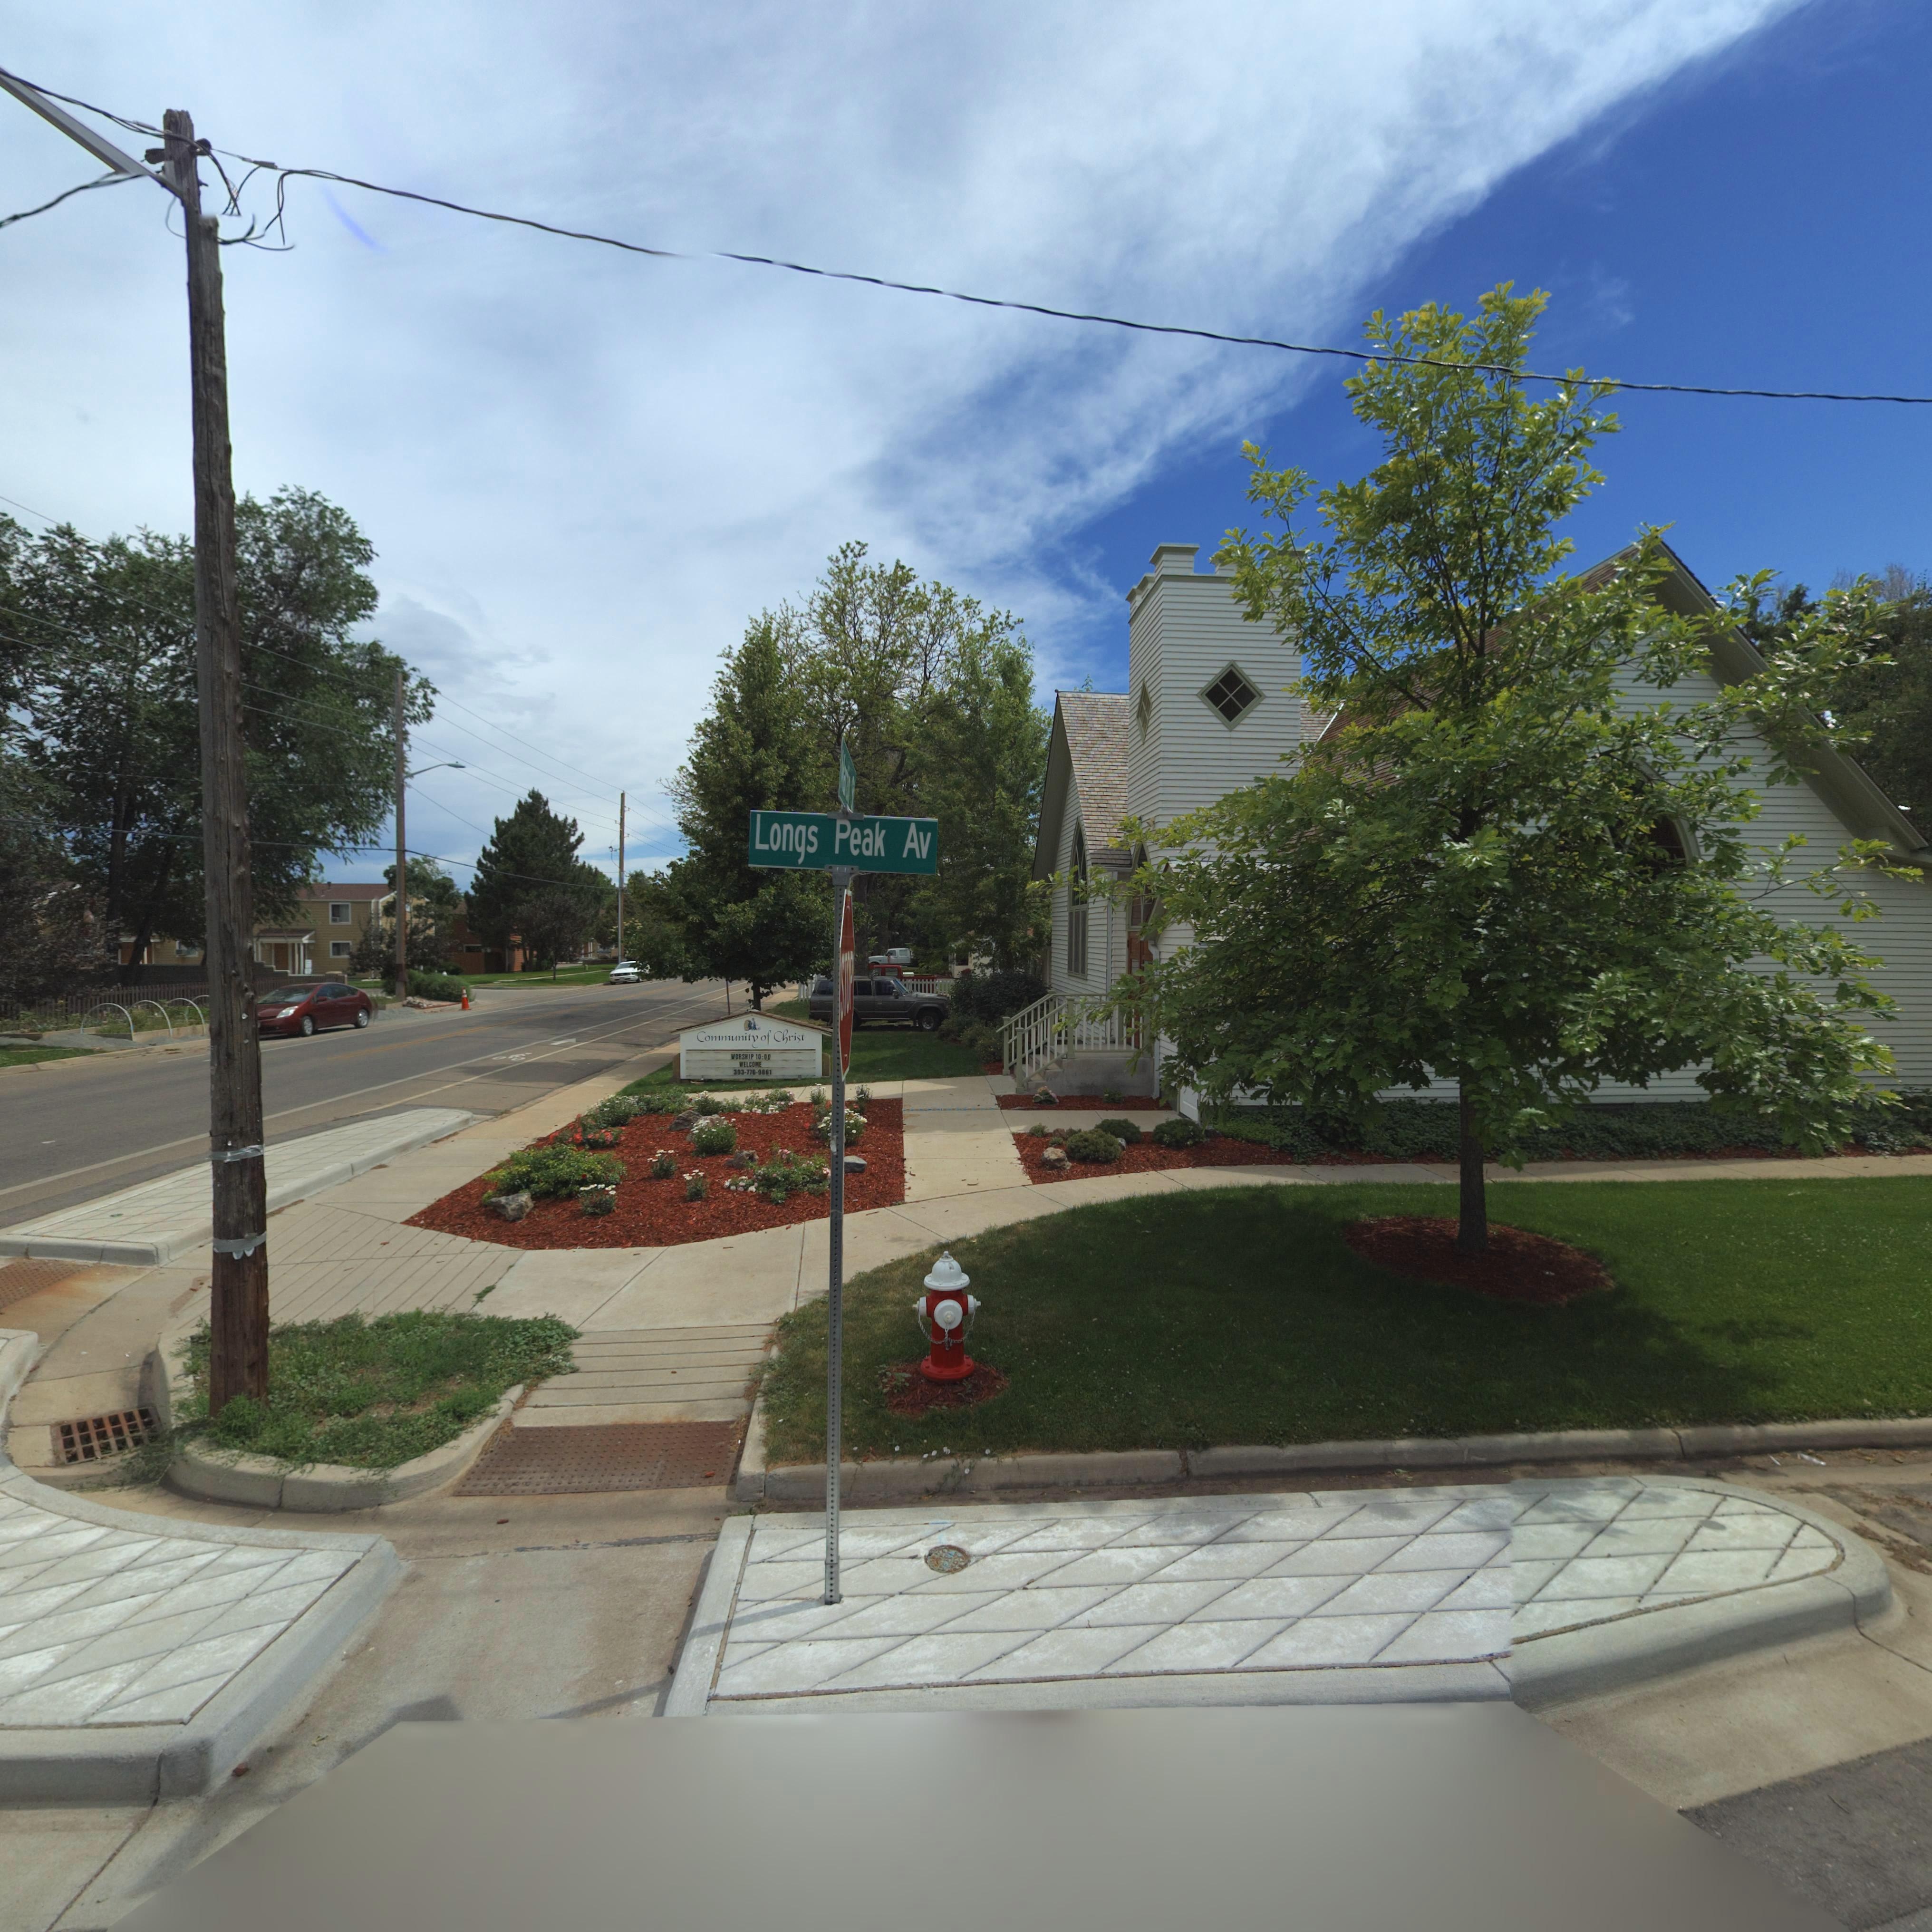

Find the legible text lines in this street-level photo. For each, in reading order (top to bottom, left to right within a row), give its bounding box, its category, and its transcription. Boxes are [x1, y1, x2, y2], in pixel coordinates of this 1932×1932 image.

[753, 813, 933, 865] StreetName: Long Peak Av
[696, 1029, 805, 1049] BusinessName: Community of Christ